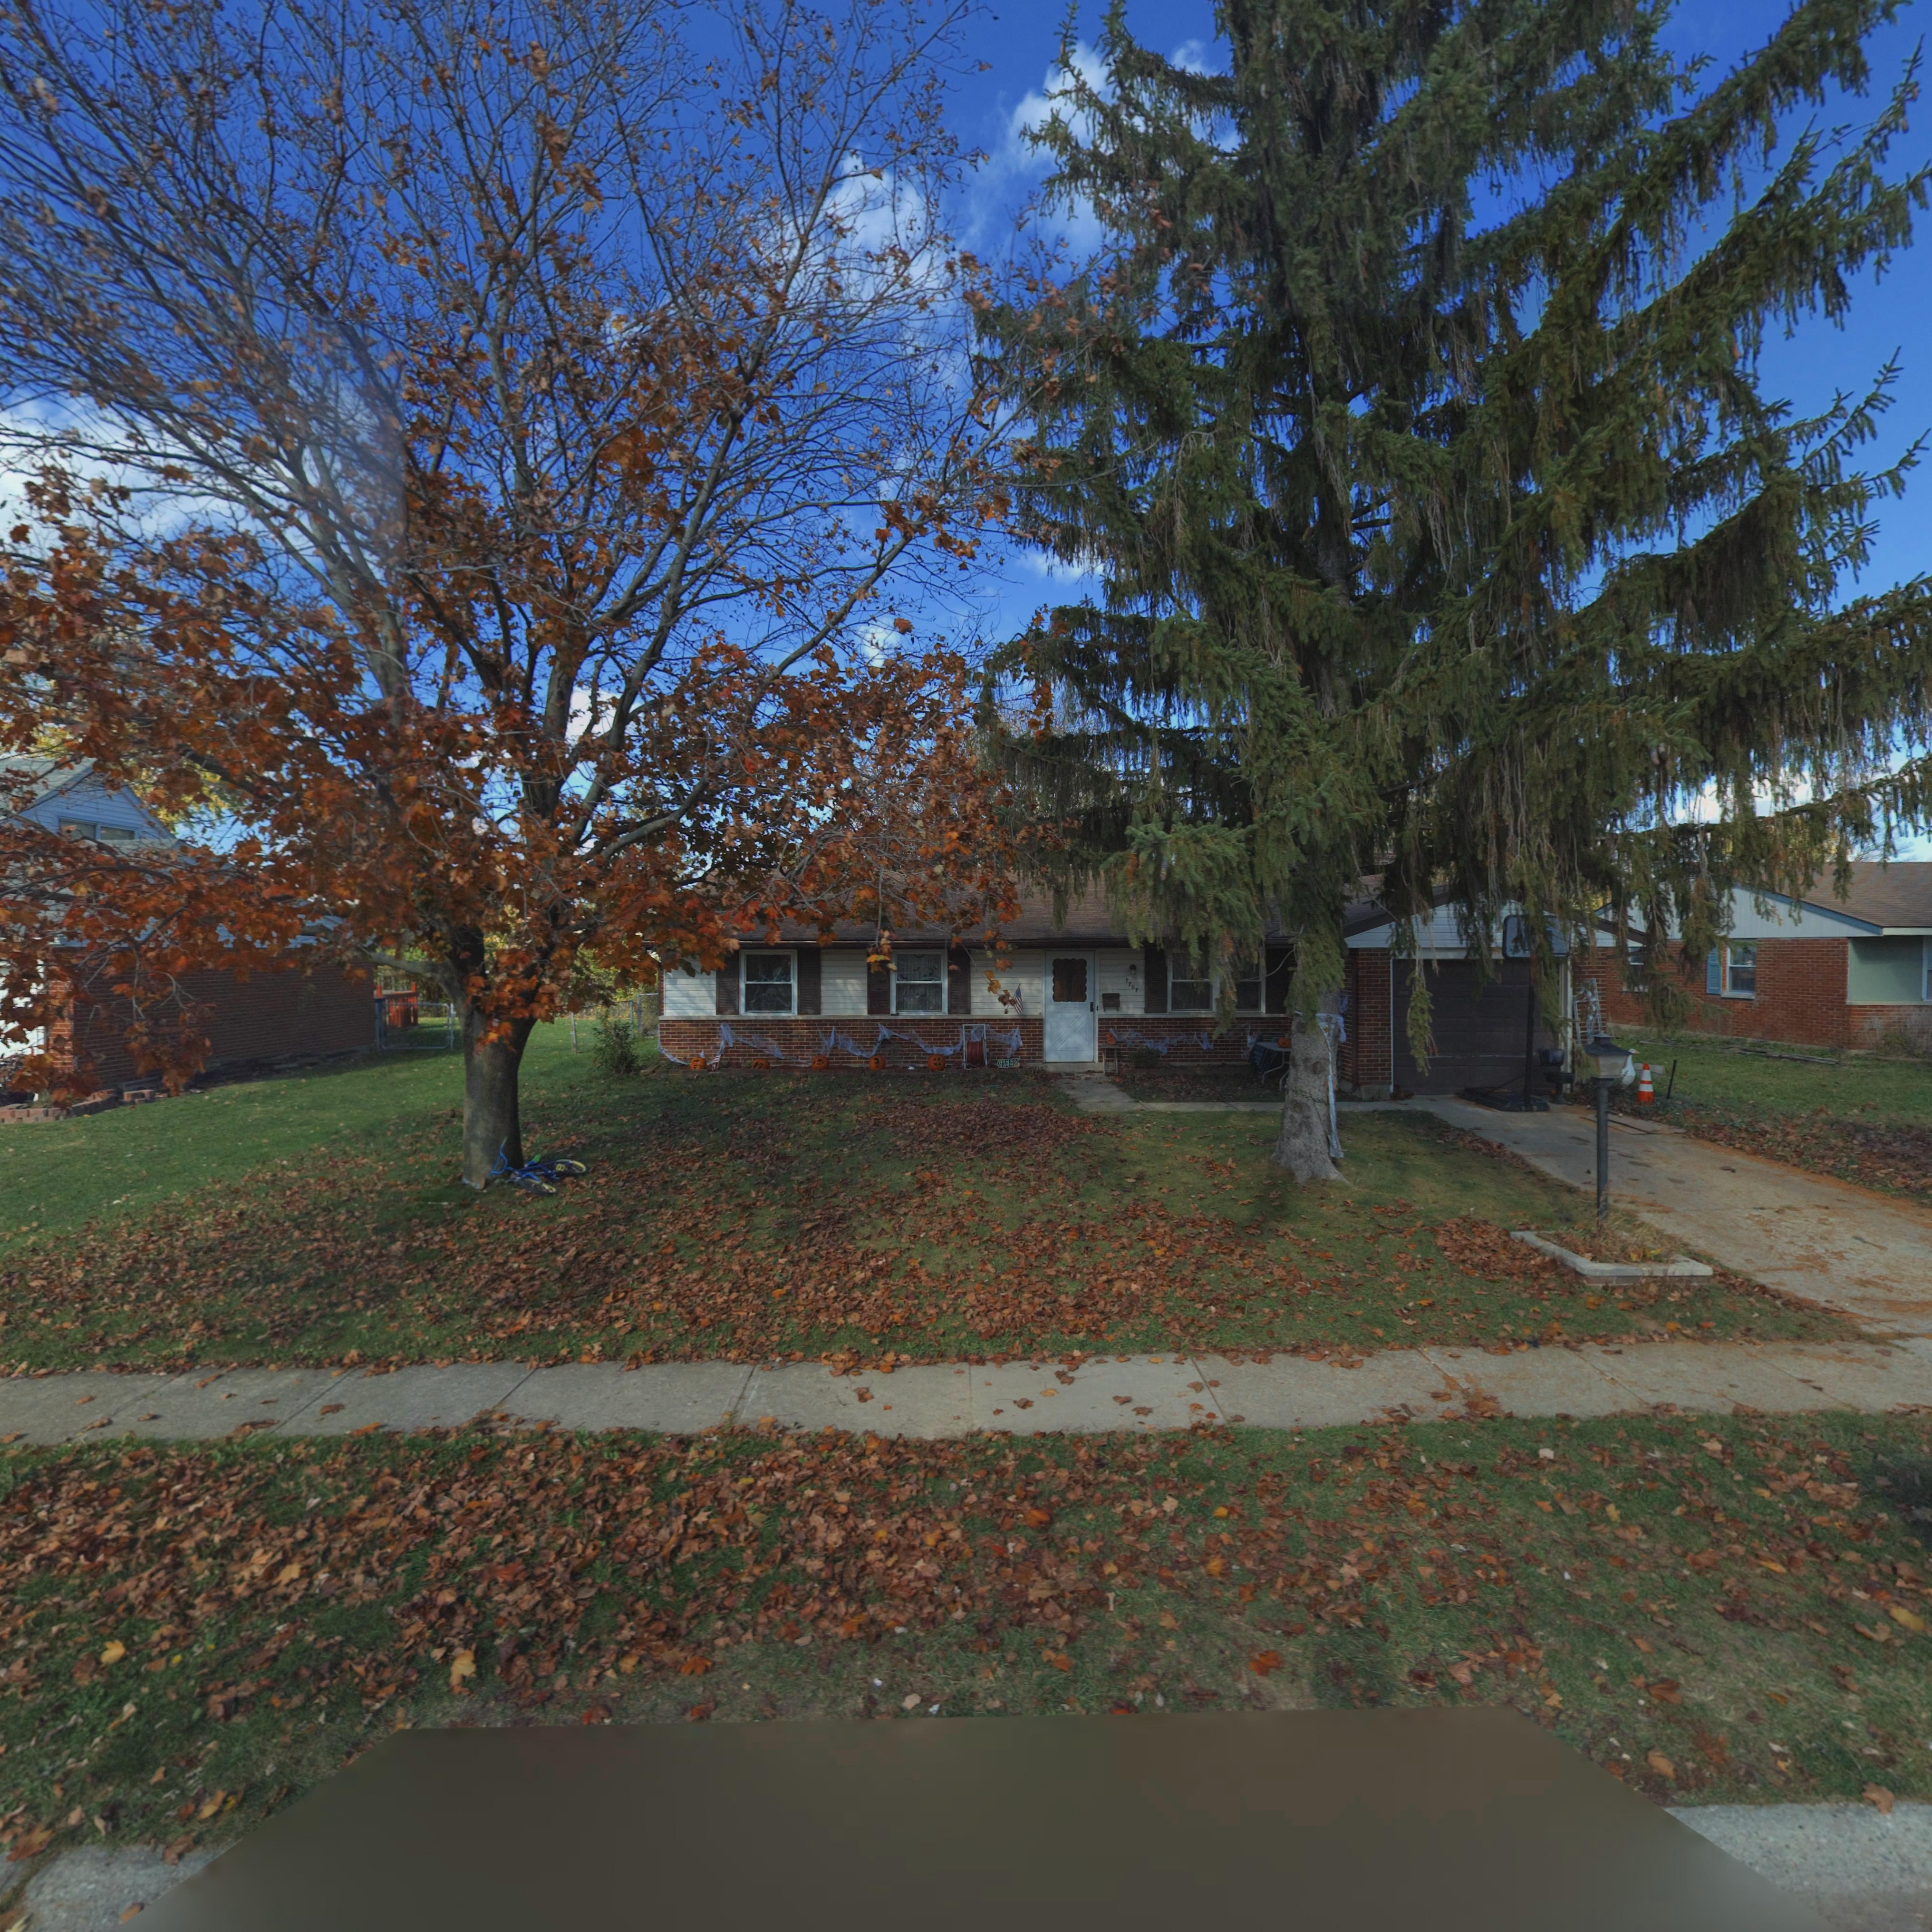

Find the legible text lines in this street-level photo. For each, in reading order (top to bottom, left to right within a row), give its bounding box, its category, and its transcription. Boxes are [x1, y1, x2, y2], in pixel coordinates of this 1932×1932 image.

[1125, 978, 1139, 993] StreetNumber: 7707